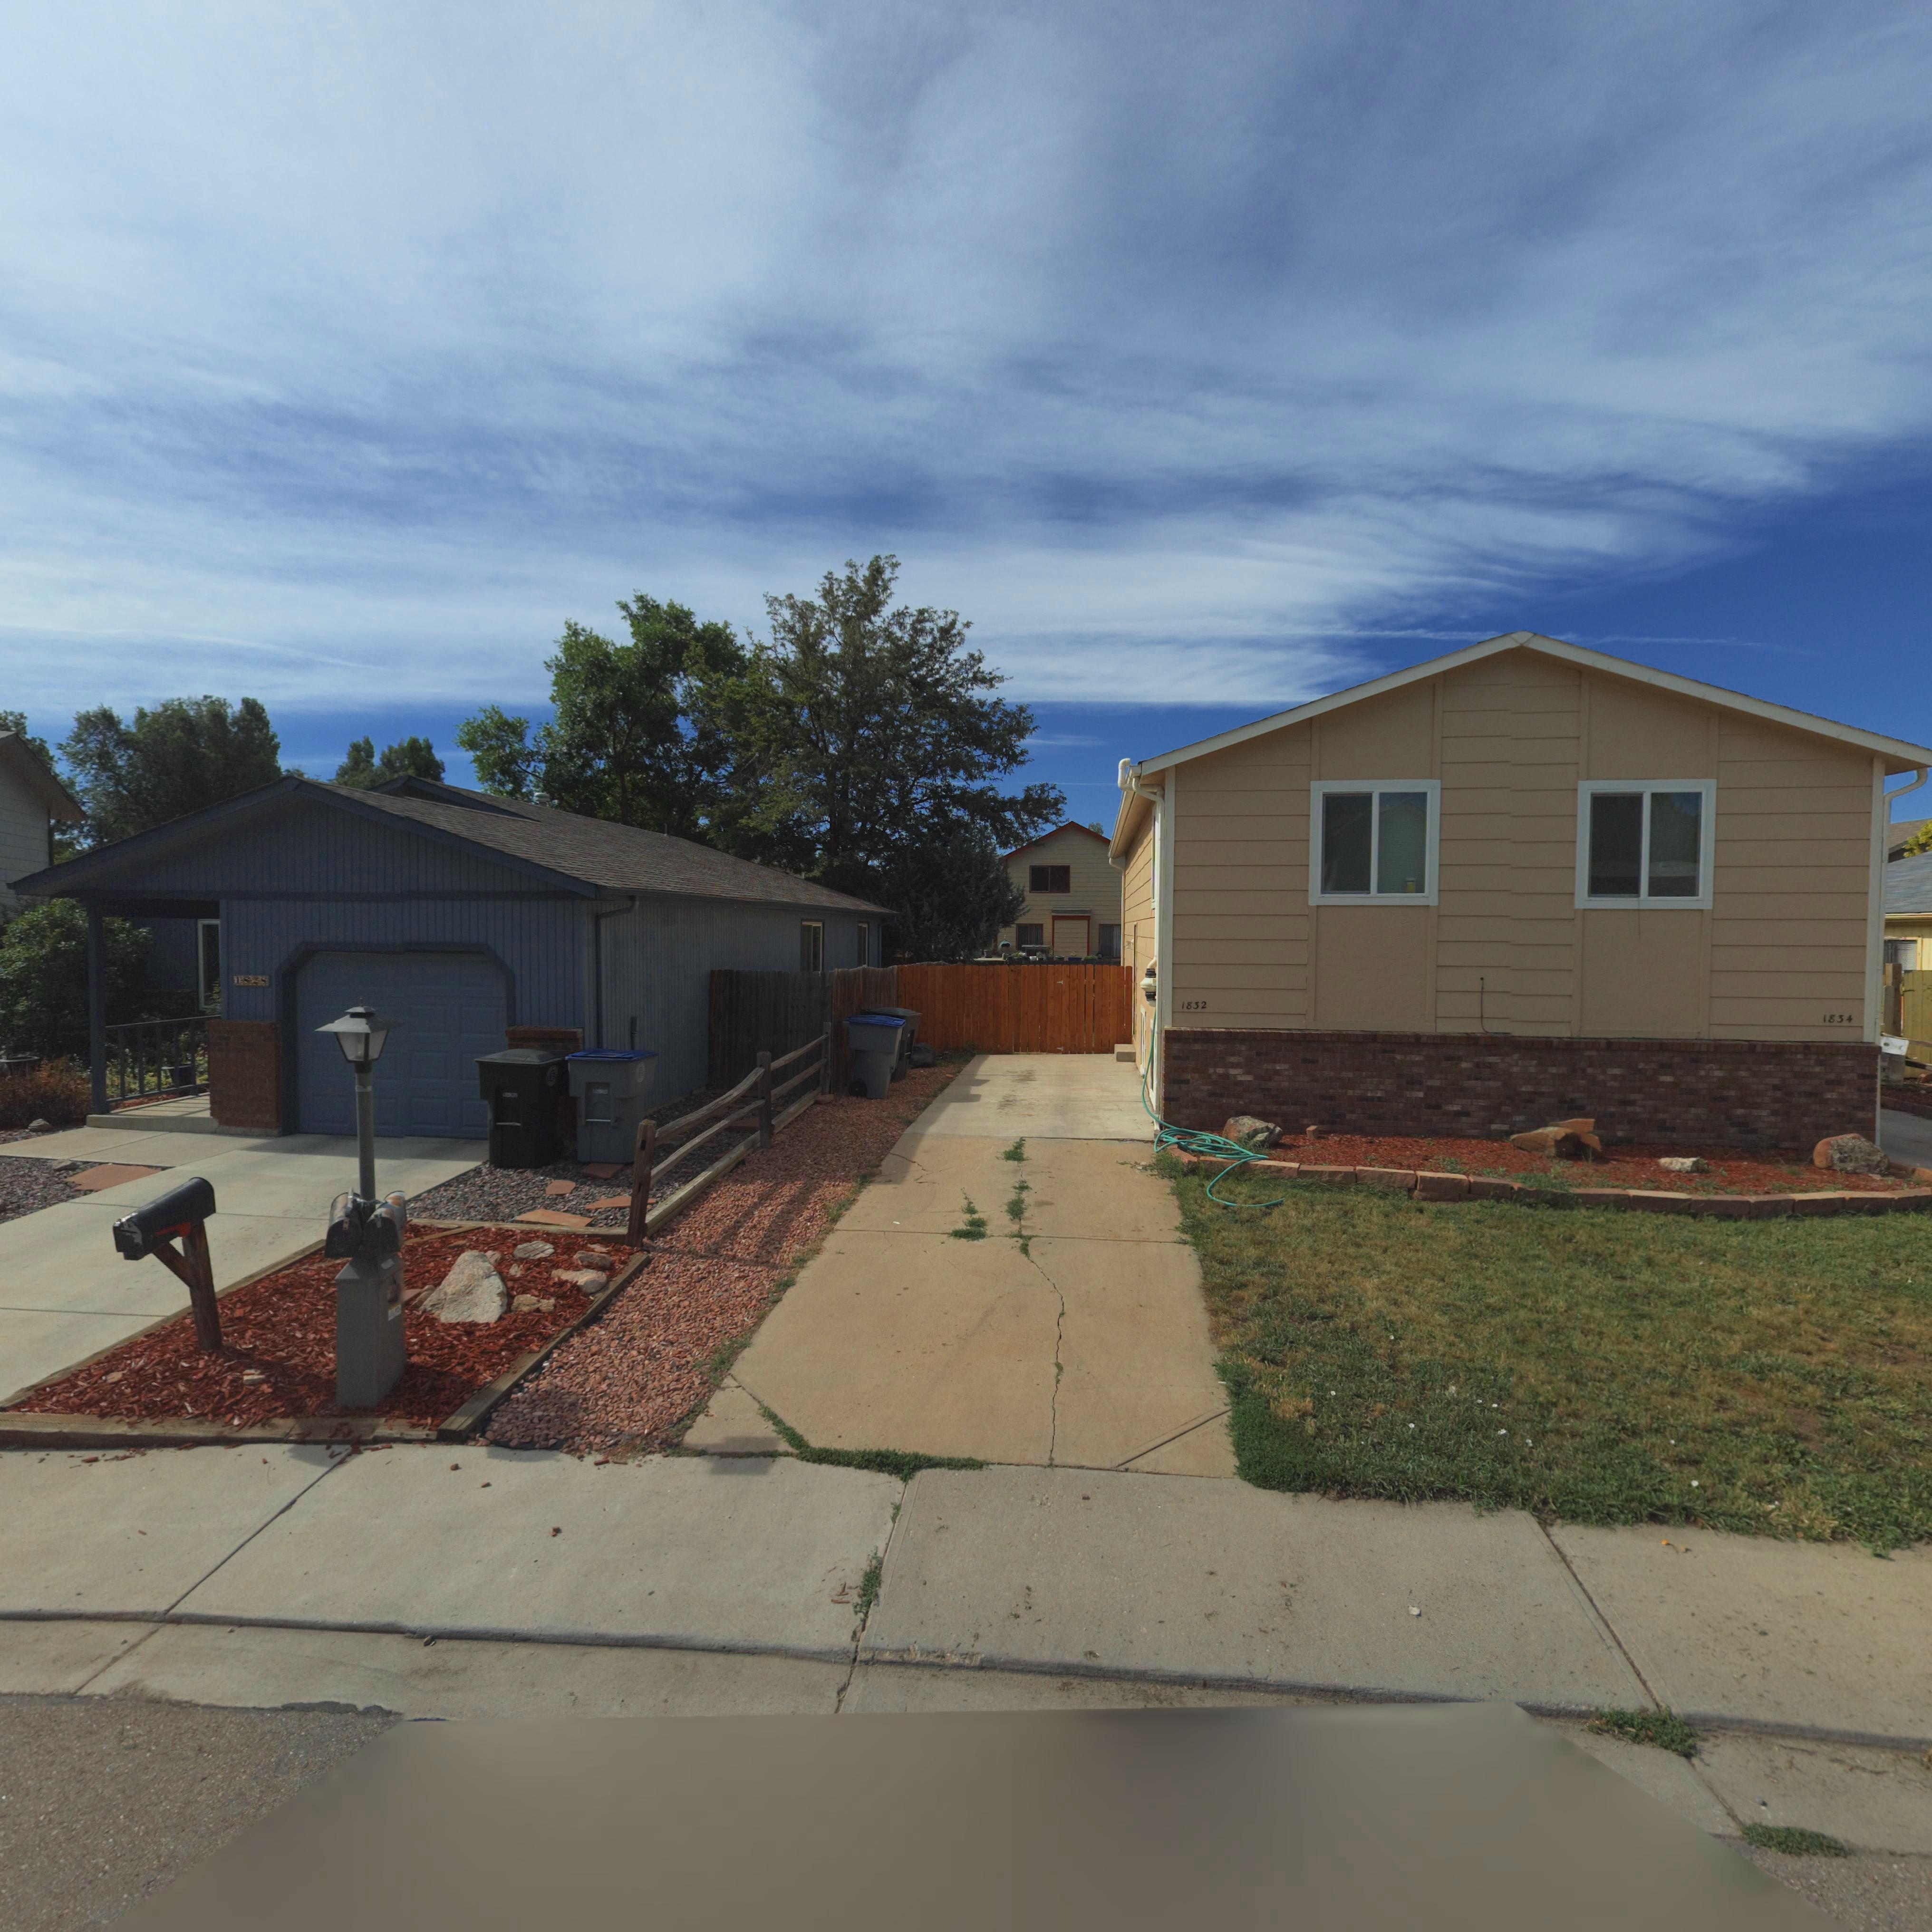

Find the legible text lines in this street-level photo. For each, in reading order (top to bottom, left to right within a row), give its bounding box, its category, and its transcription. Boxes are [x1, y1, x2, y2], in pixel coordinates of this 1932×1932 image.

[235, 976, 266, 985] StreetNumber: 1828
[1181, 1000, 1207, 1010] StreetNumber: 1832
[1823, 1014, 1853, 1024] StreetNumber: 1834